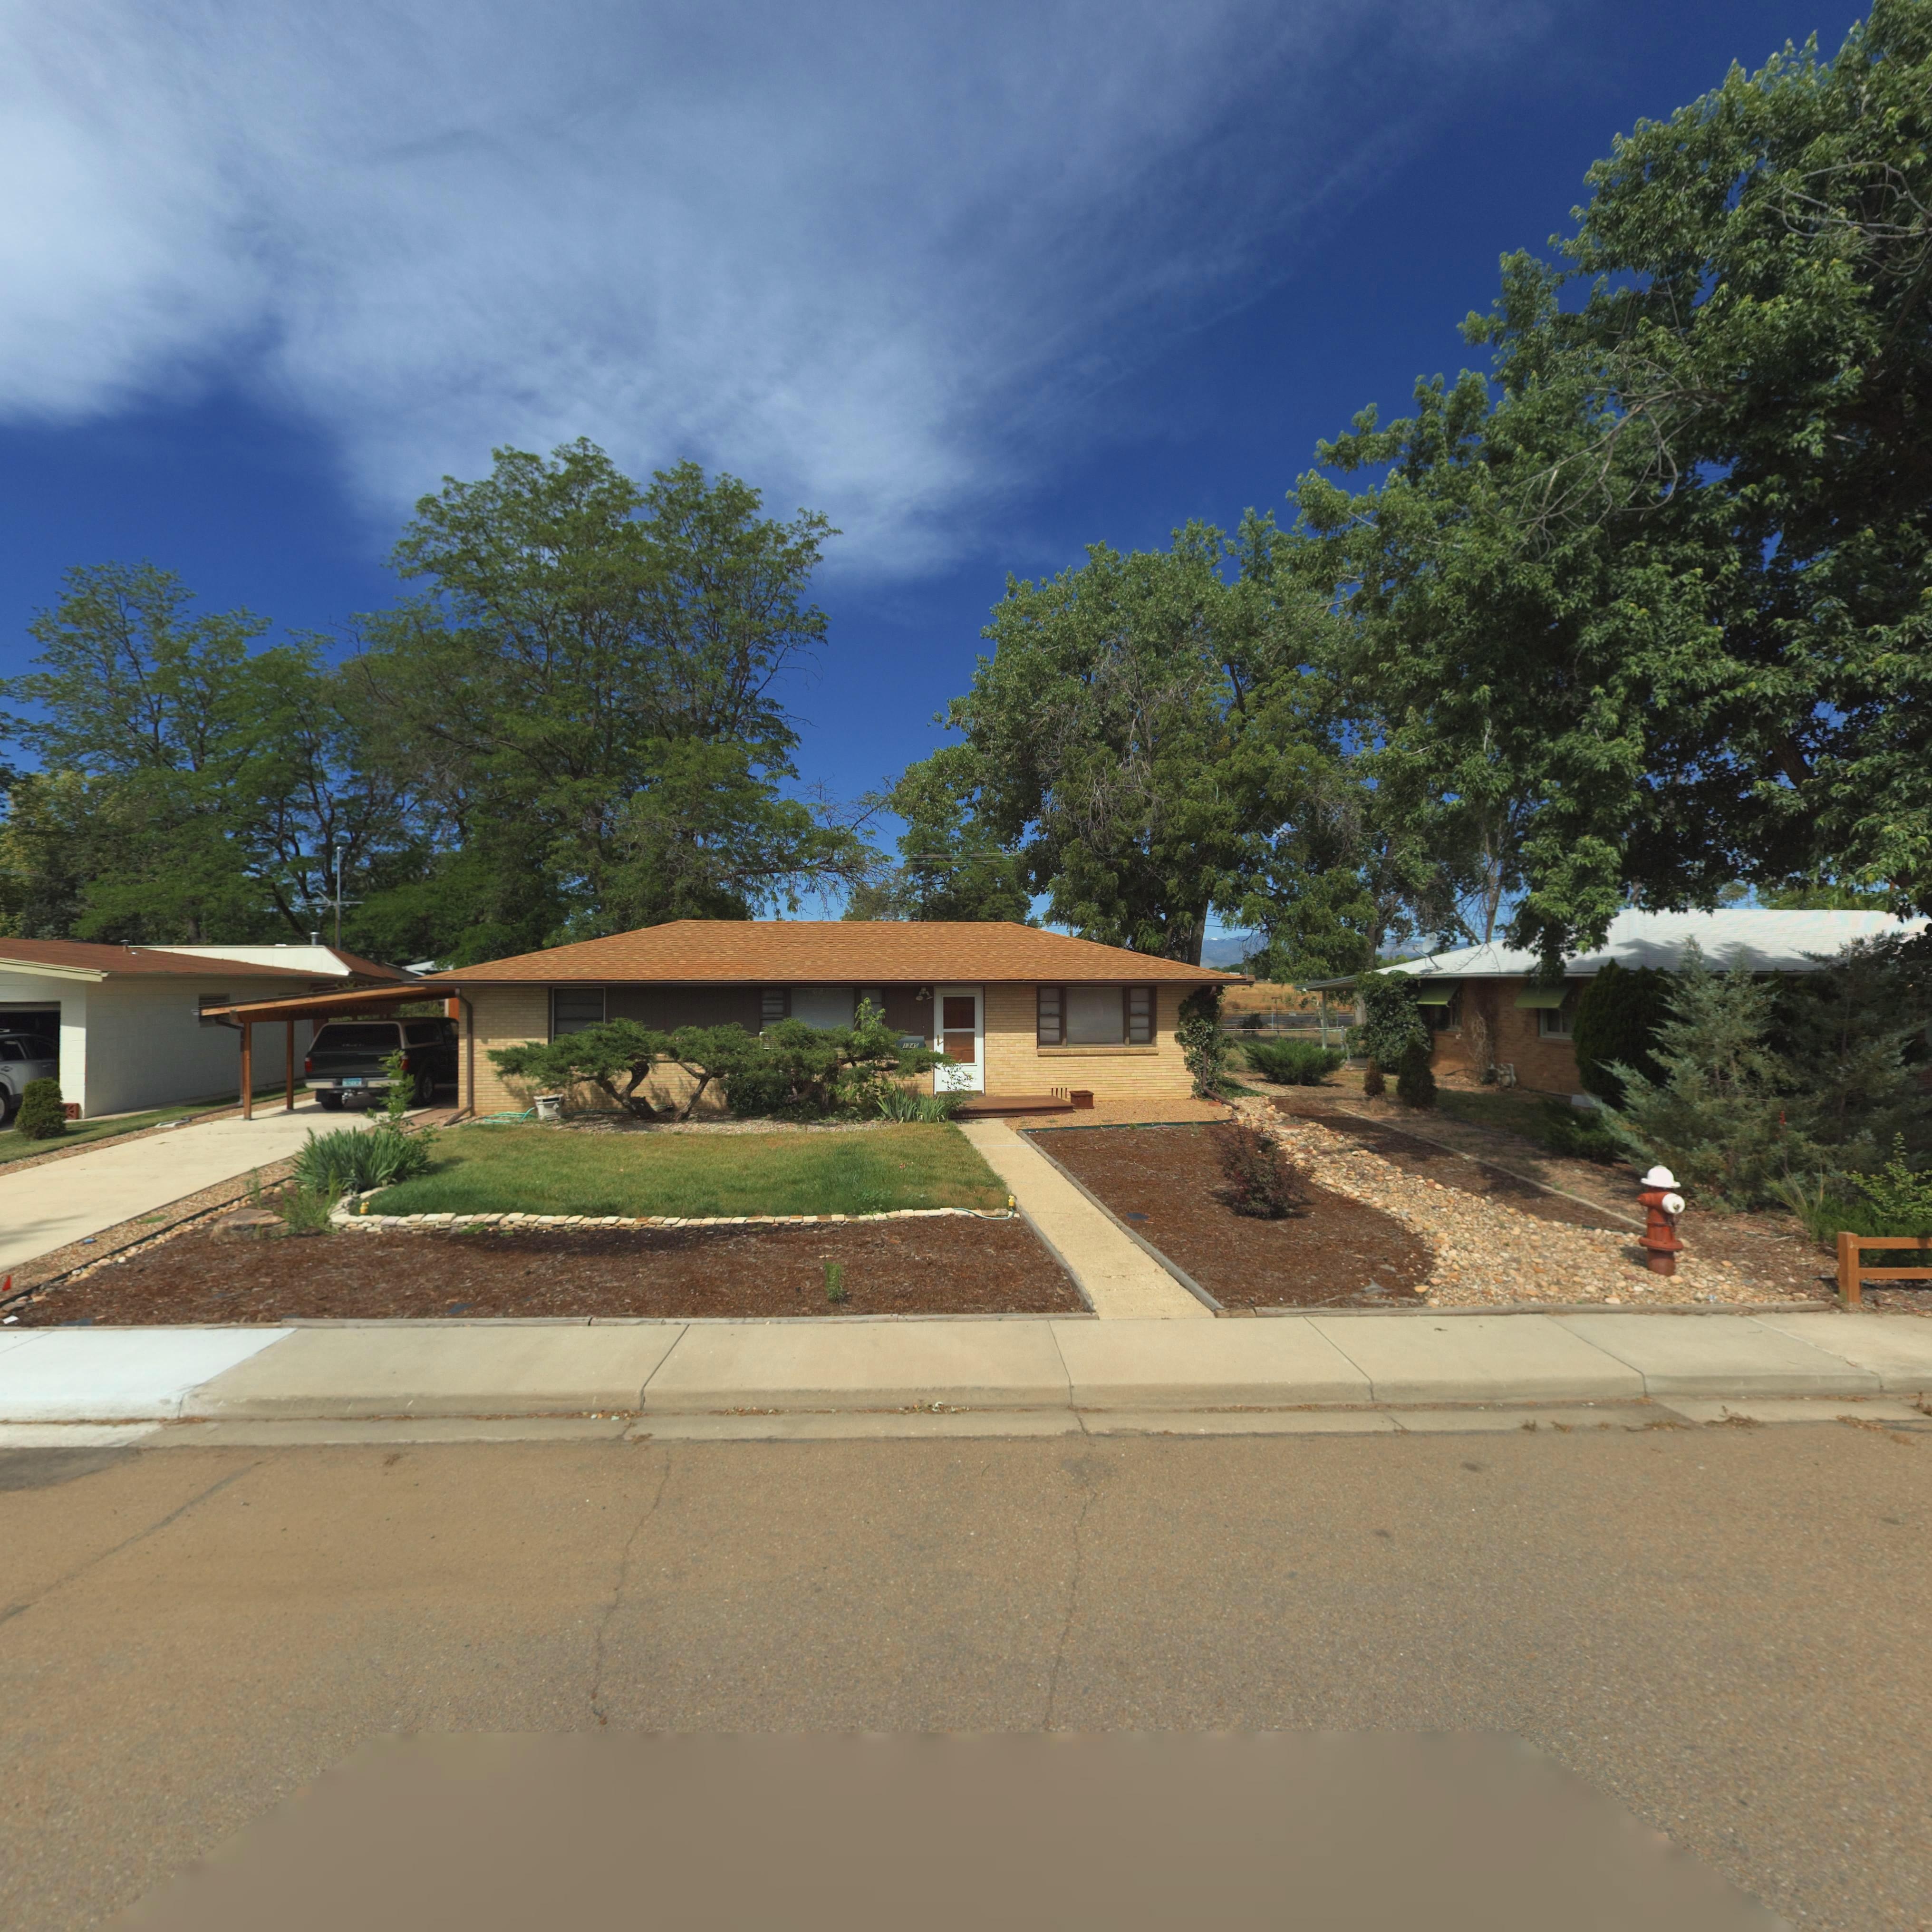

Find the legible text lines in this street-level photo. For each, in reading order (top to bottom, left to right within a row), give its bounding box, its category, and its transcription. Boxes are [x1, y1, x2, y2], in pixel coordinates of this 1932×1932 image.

[903, 1042, 918, 1048] StreetNumber: 1345